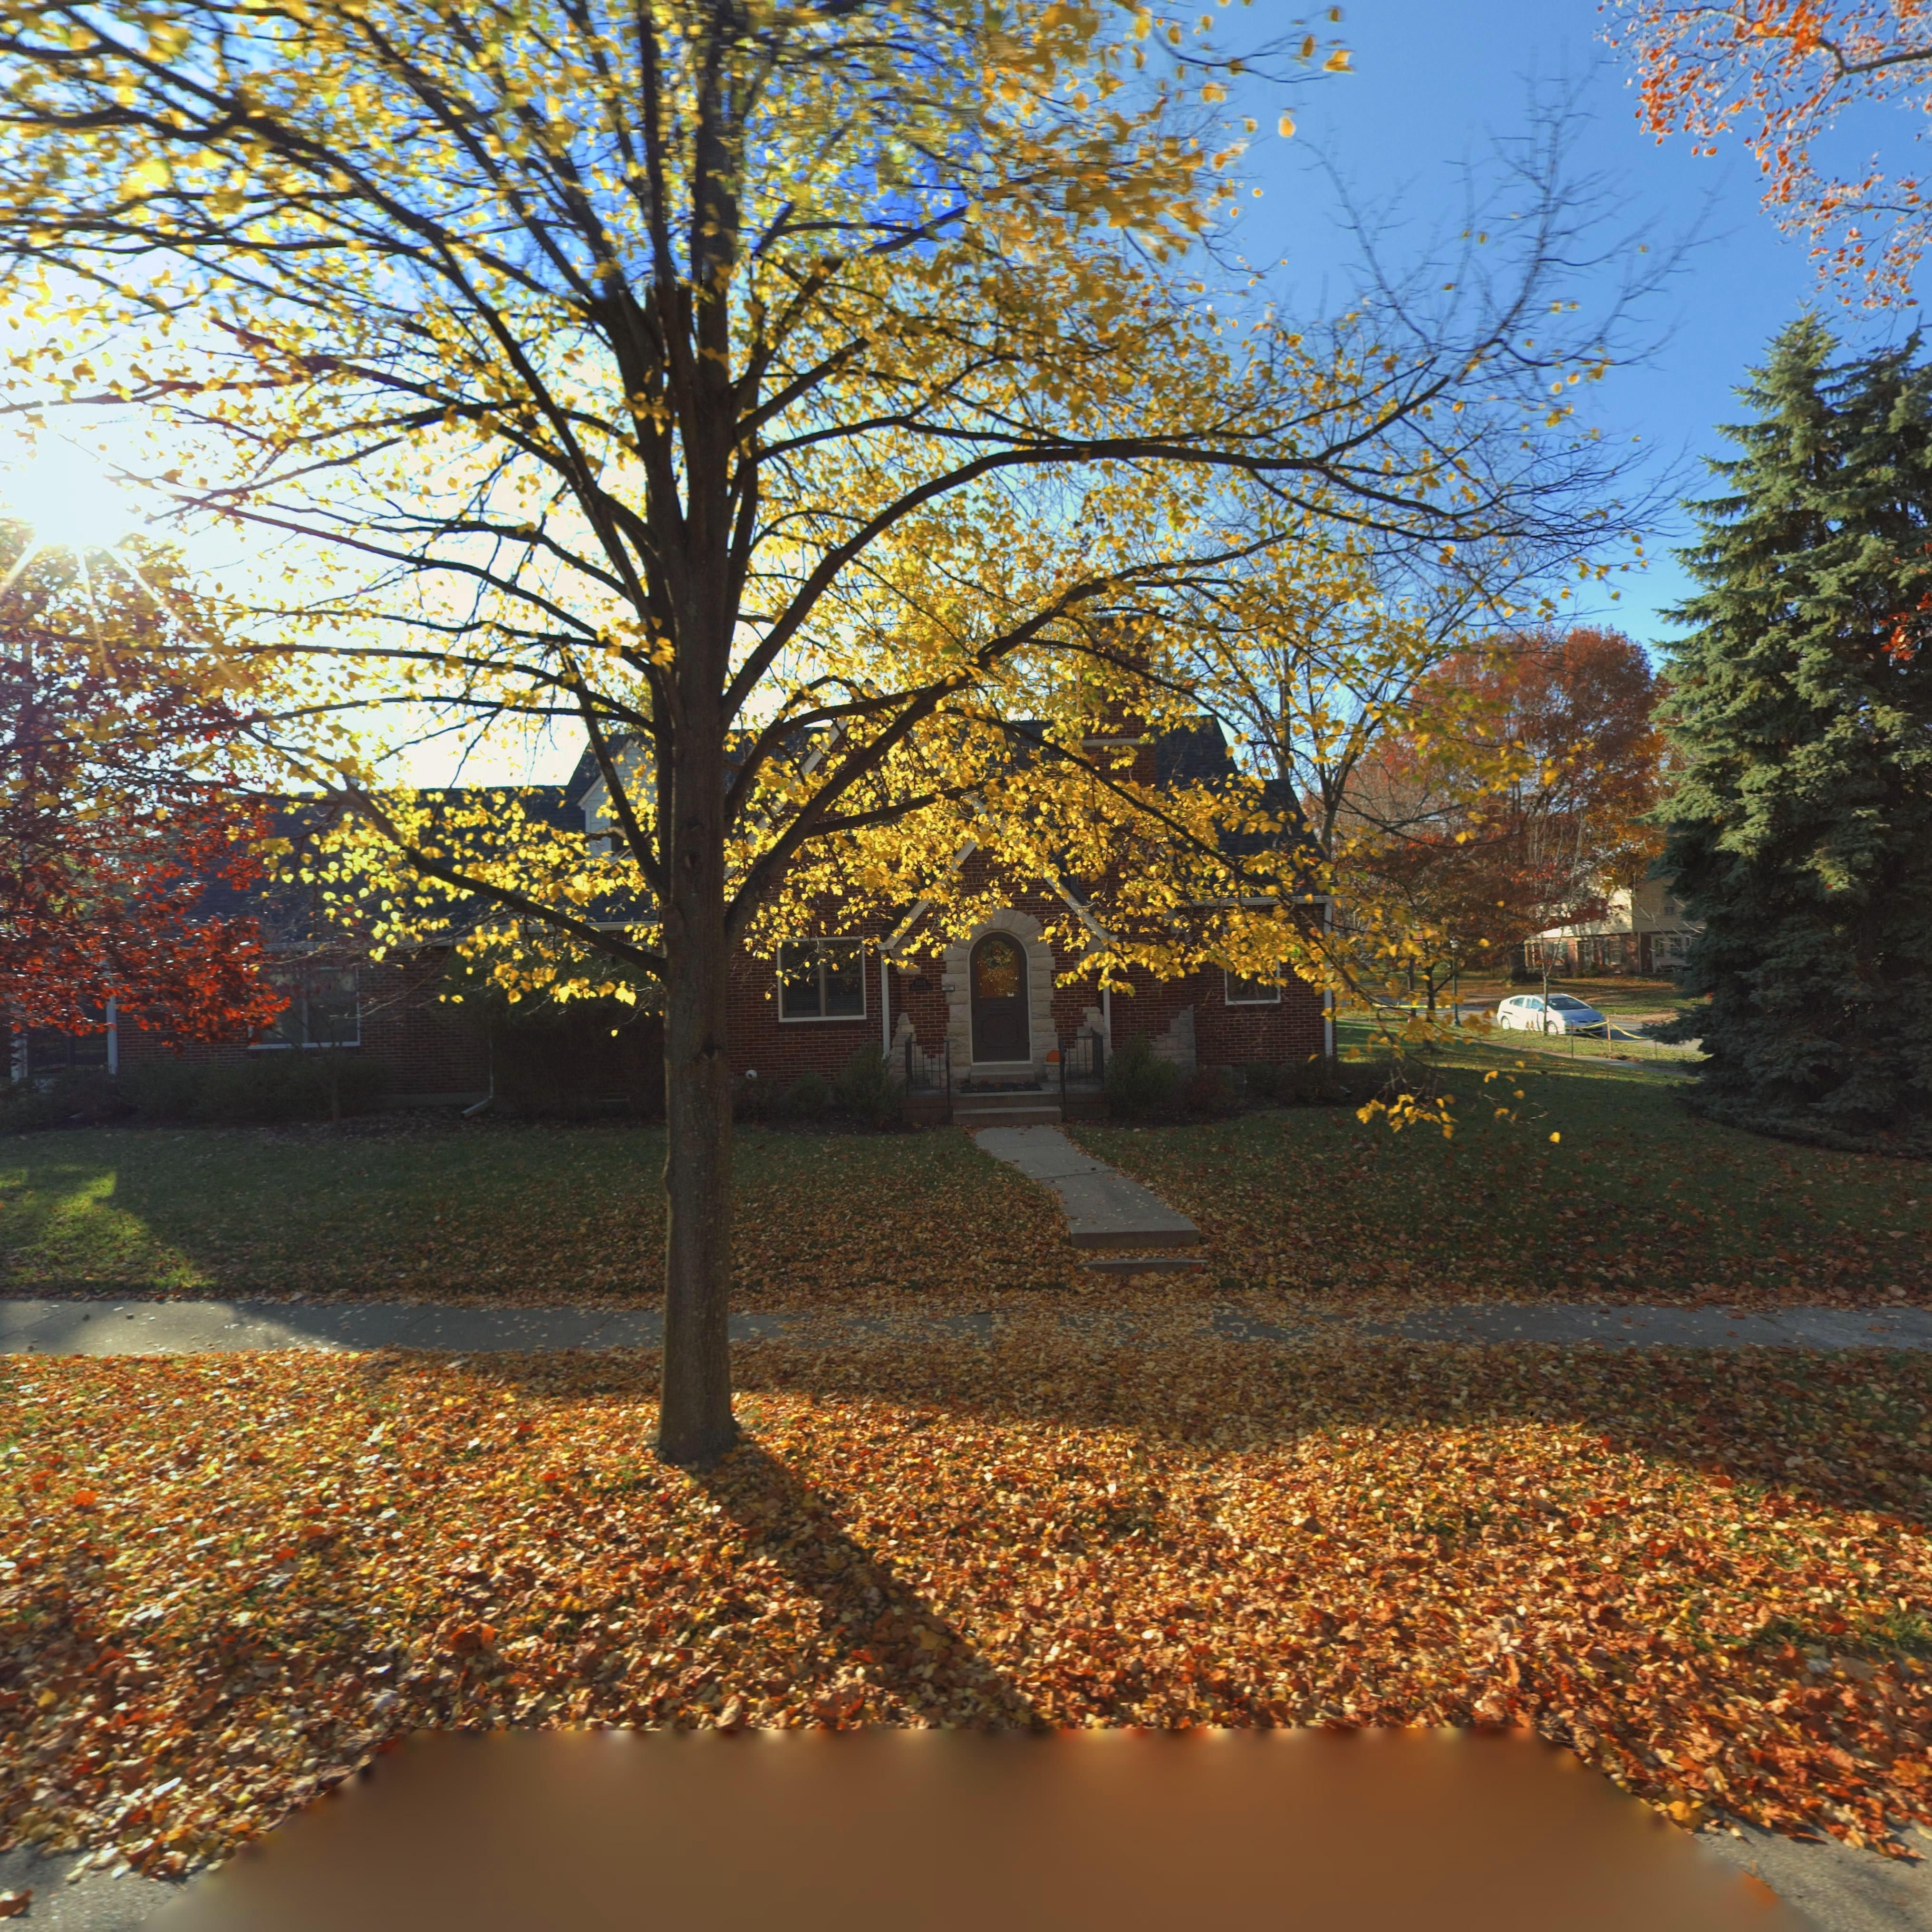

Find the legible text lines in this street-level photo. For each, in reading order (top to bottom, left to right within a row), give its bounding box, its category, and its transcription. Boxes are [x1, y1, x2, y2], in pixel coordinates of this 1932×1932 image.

[915, 979, 927, 986] StreetNumber: 1305